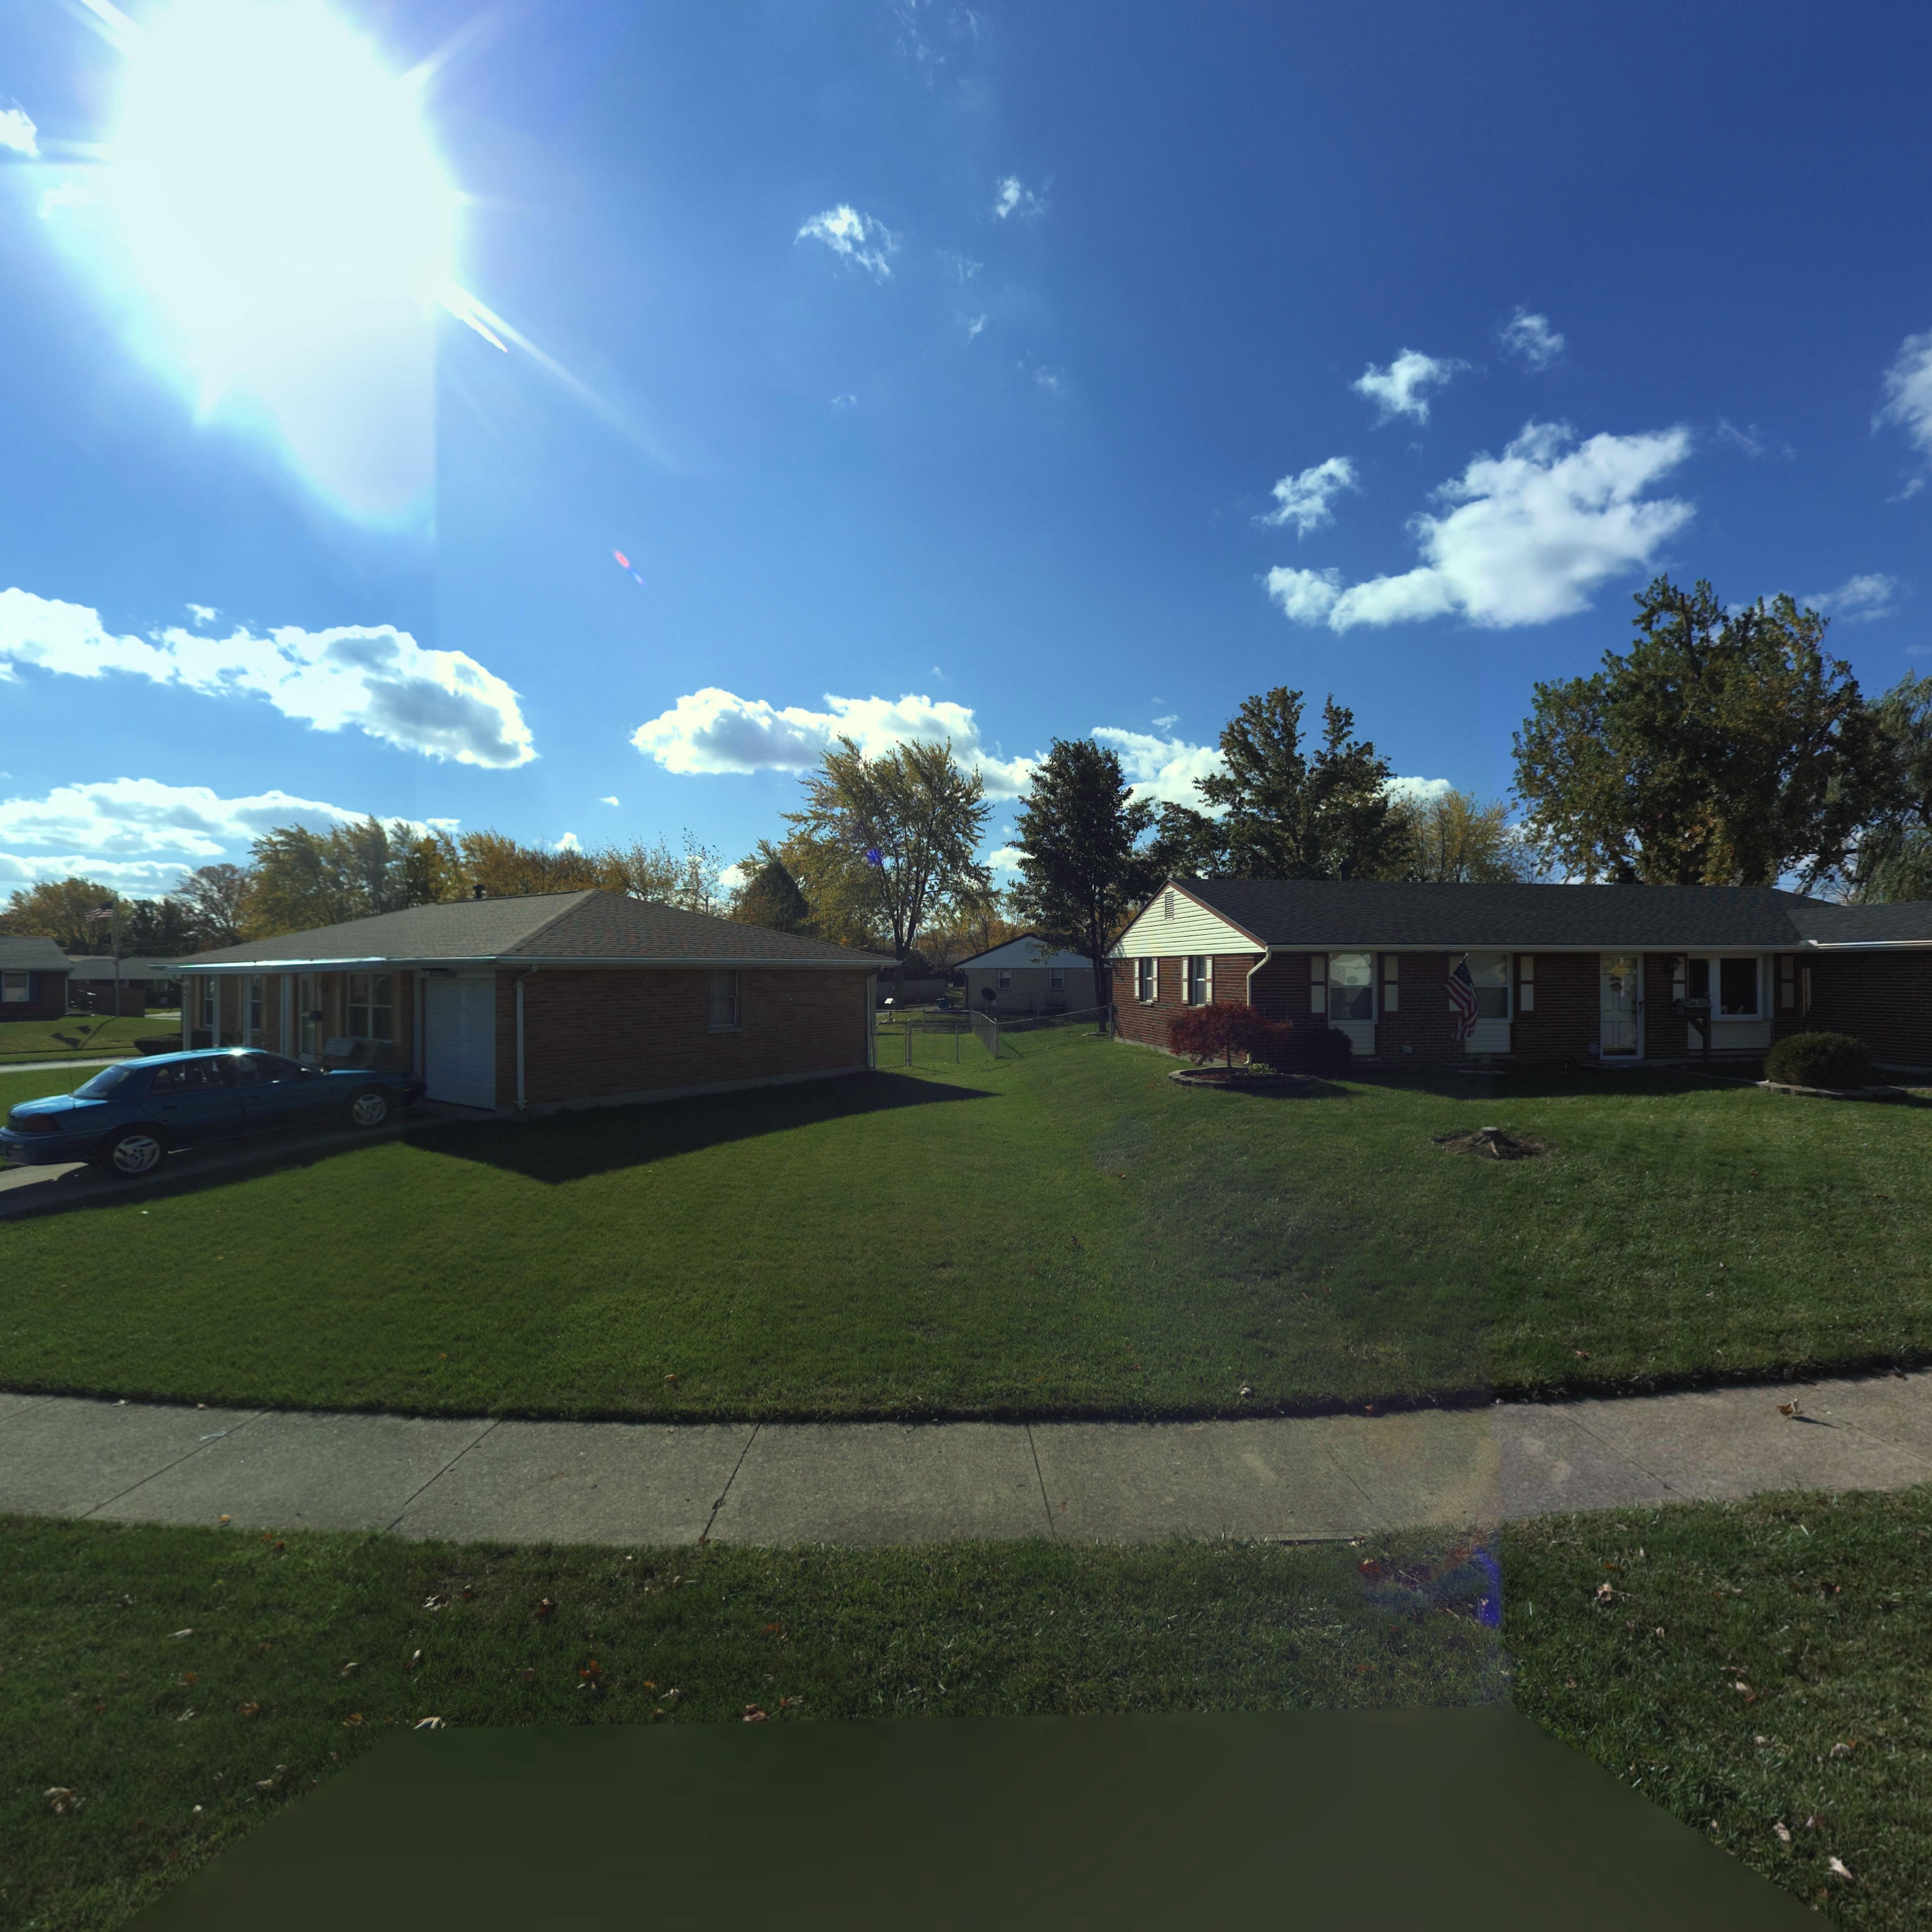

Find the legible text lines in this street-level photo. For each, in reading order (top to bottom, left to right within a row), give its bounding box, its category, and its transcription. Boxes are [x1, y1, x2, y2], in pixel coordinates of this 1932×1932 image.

[443, 970, 457, 979] StreetNumber: 6690